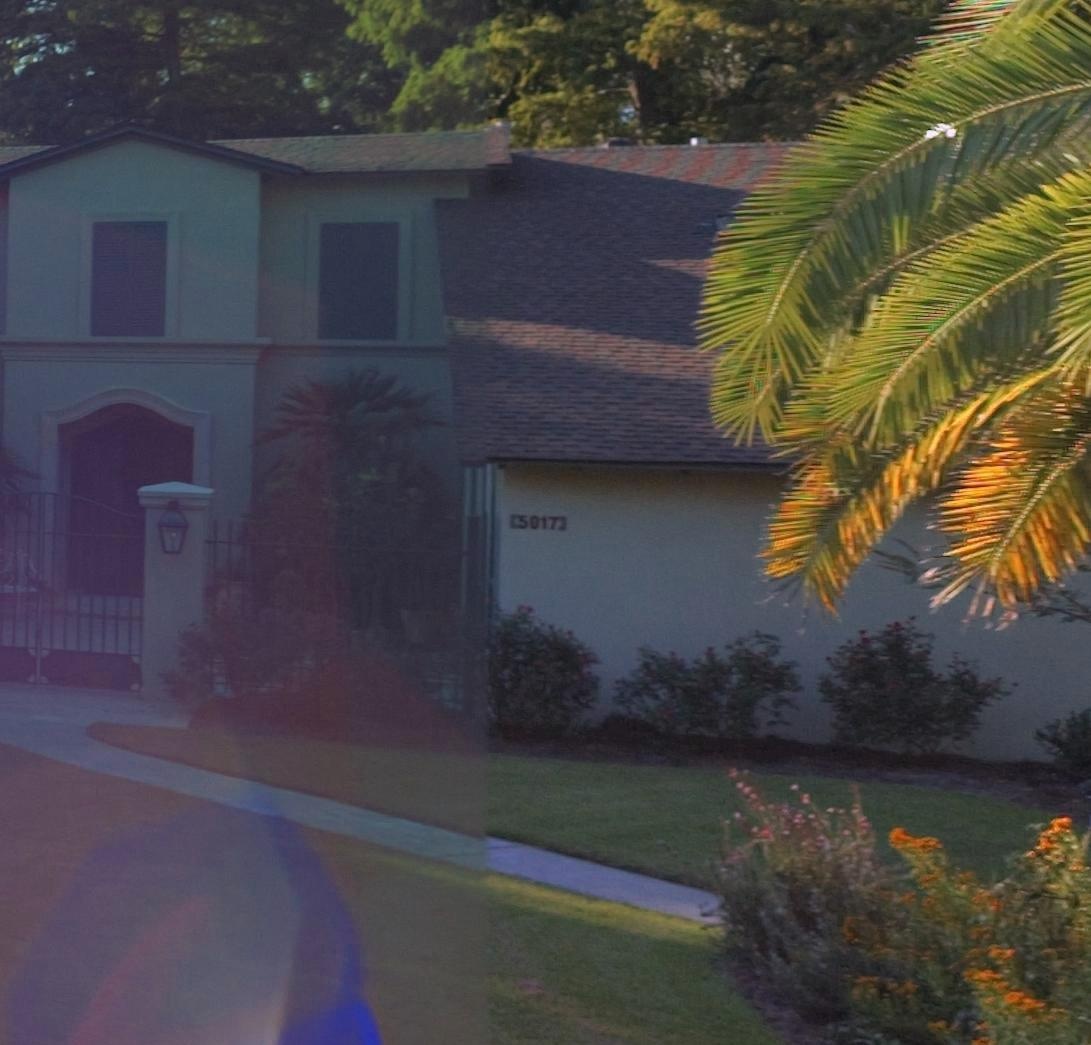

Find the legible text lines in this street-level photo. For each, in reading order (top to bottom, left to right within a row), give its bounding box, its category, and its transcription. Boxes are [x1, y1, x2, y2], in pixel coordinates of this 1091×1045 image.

[516, 512, 561, 533] StreetNumber: 5017